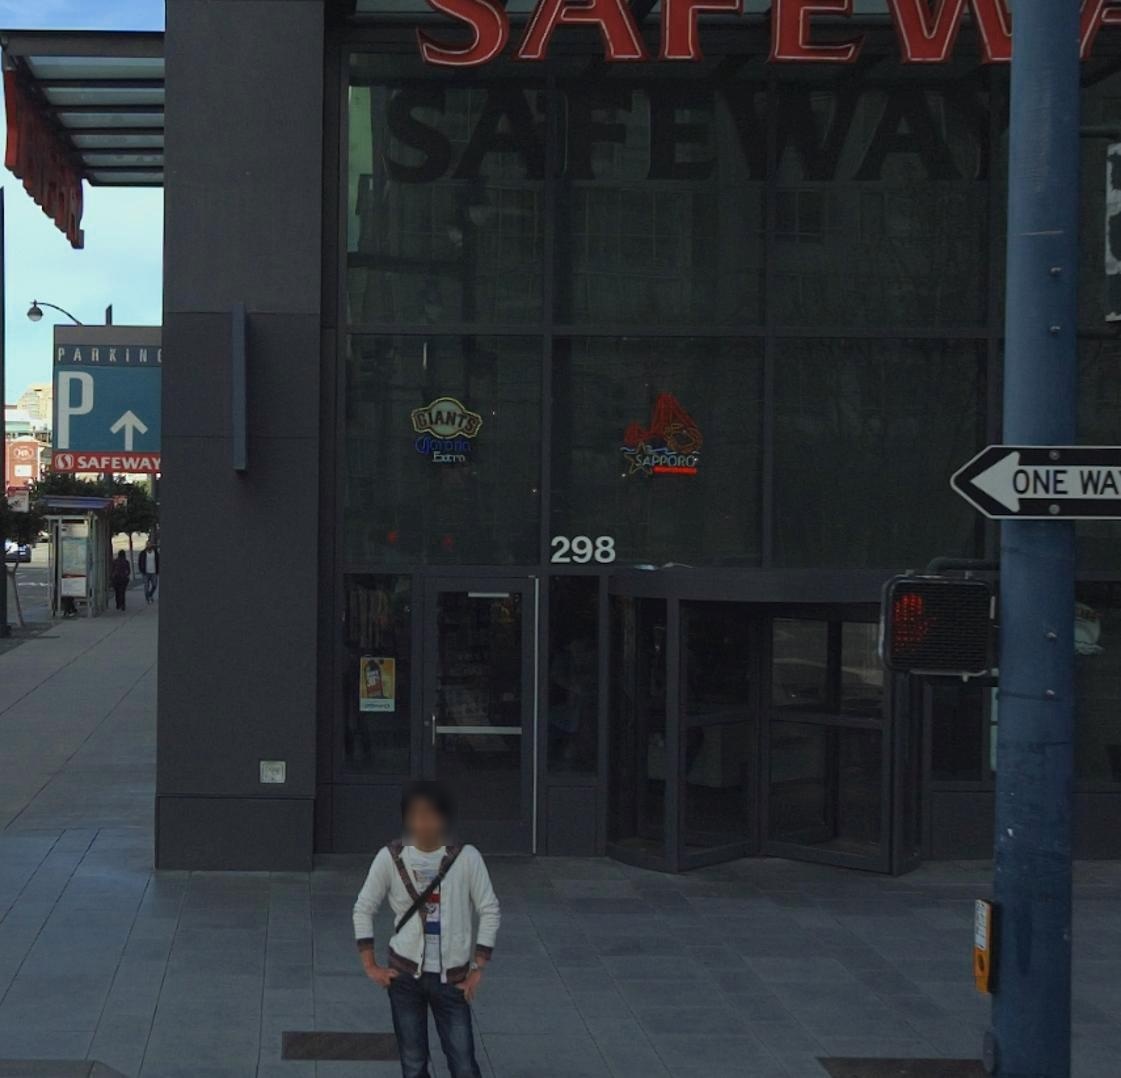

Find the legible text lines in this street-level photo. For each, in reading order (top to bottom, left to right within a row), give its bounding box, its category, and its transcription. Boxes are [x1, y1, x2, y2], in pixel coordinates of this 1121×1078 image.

[379, 78, 973, 186] BusinessName: SAFEWA
[55, 345, 150, 365] None: PARKIN
[55, 368, 97, 452] None: P
[412, 408, 480, 434] None: GIANTS
[75, 454, 163, 472] BusinessName: SAFEWAY
[412, 432, 473, 458] None: *o*ona
[431, 449, 469, 465] None: E**ra
[633, 452, 698, 469] None: SAPPORO
[1010, 467, 1121, 498] None: ONE WAY
[548, 533, 618, 566] StreetNumber: 298